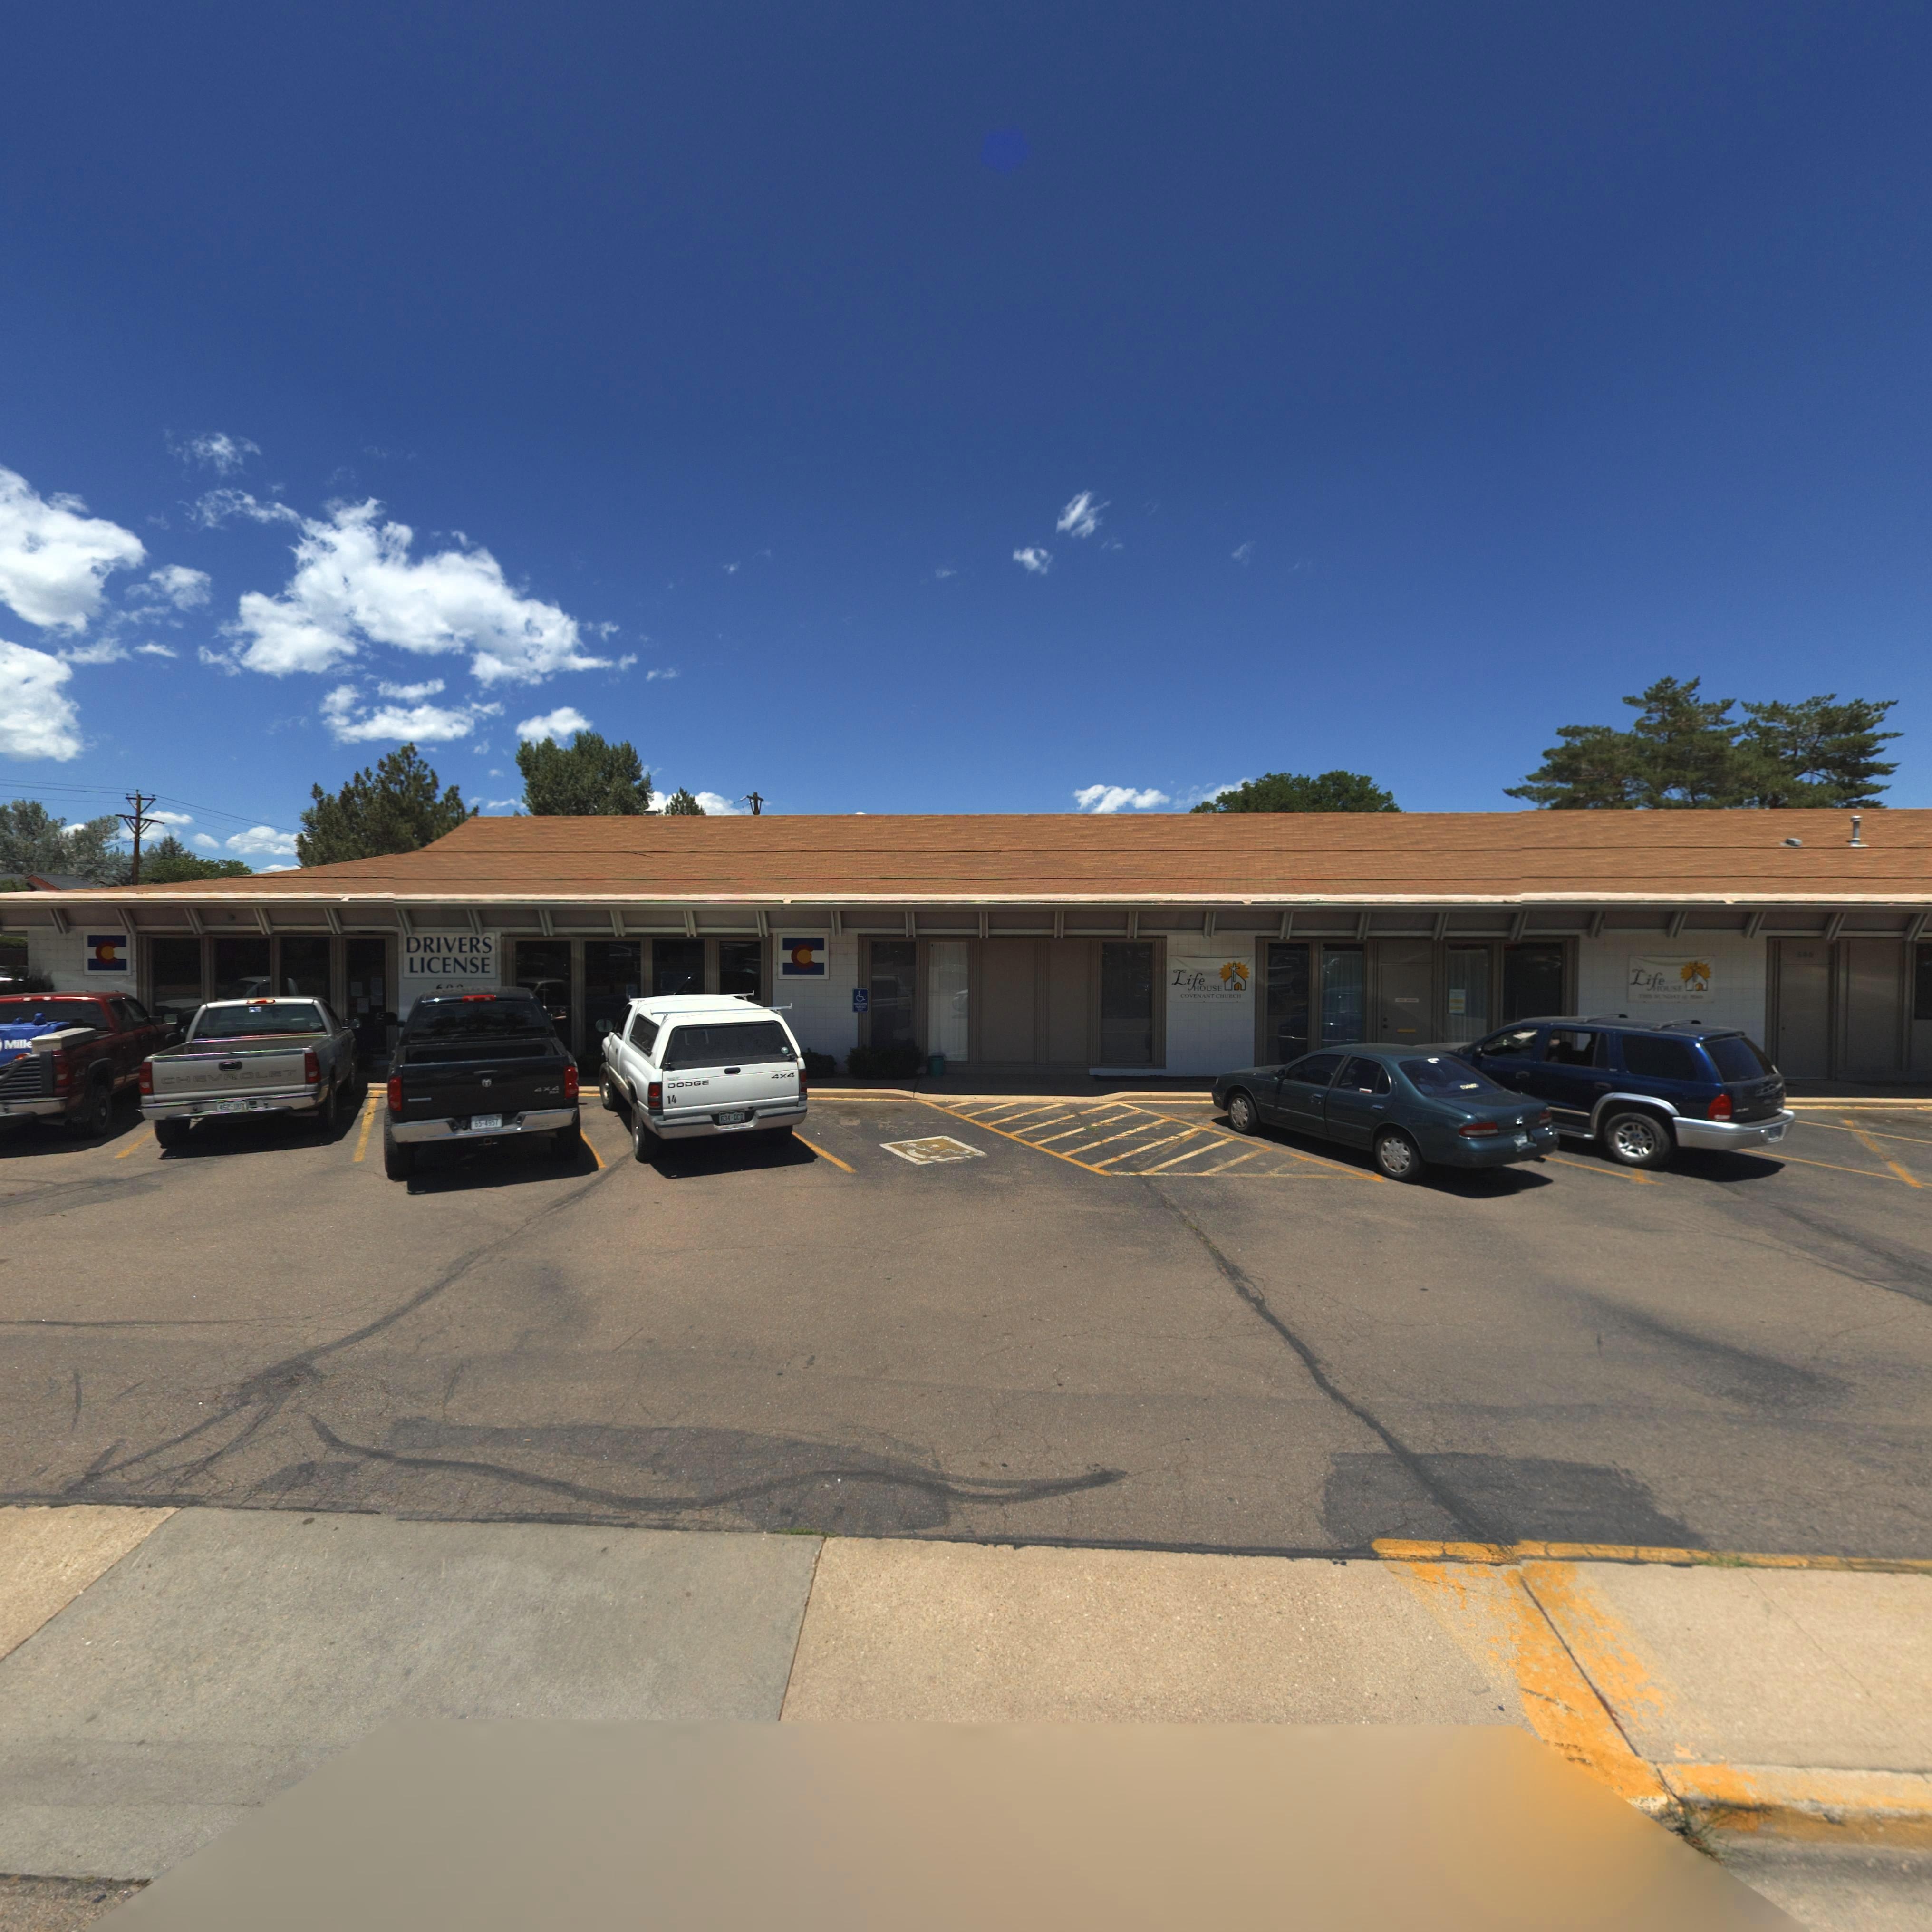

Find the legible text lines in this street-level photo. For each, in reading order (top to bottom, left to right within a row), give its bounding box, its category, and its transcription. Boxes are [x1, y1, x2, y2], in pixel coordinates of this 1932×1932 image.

[1171, 968, 1205, 991] BusinessName: Life
[1630, 968, 1665, 990] BusinessName: Life
[1193, 985, 1223, 992] BusinessName: HOUSE
[1652, 985, 1684, 992] BusinessName: HOUSE
[1180, 993, 1241, 999] BusinessName: COVENANT CHURCH